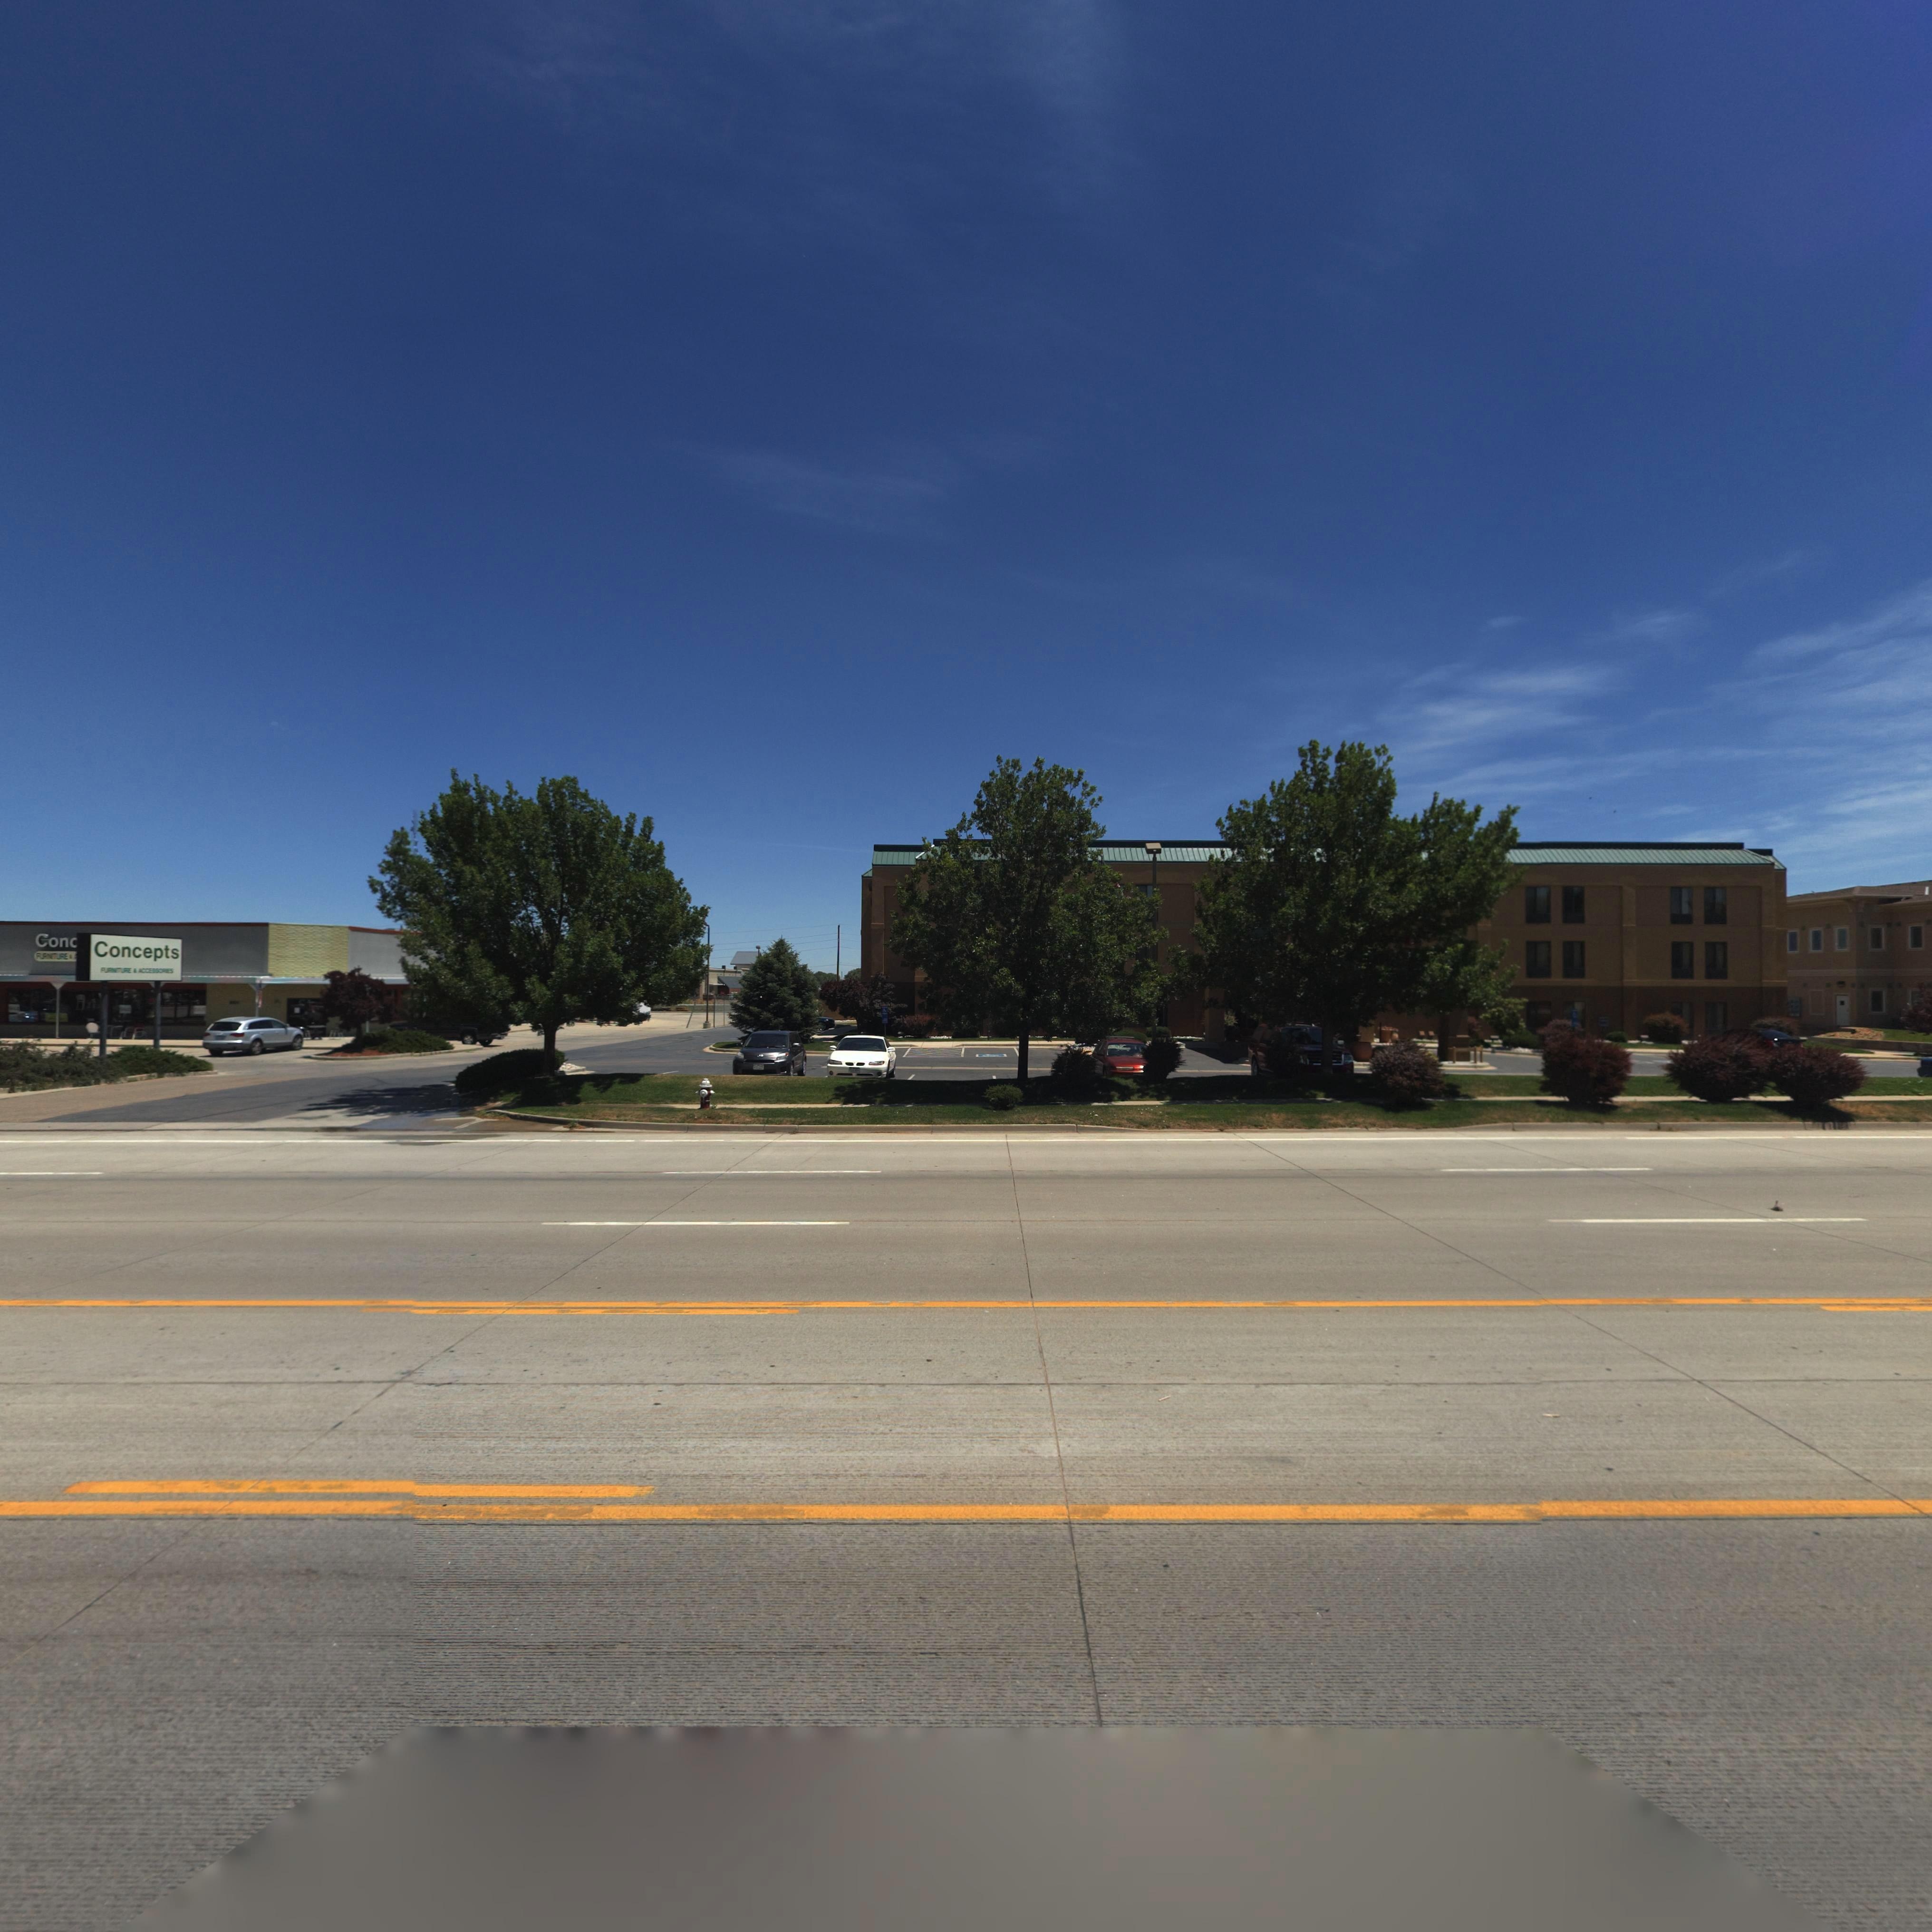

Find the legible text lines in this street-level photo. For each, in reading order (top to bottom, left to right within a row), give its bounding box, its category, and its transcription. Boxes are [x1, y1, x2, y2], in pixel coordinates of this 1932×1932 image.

[34, 931, 70, 949] StreetNumber: Con
[35, 951, 69, 960] BusinessName: Furniture
[93, 939, 179, 962] BusinessName: Concepts
[99, 966, 174, 974] BusinessName: FURNITURE * ACCESSORIES